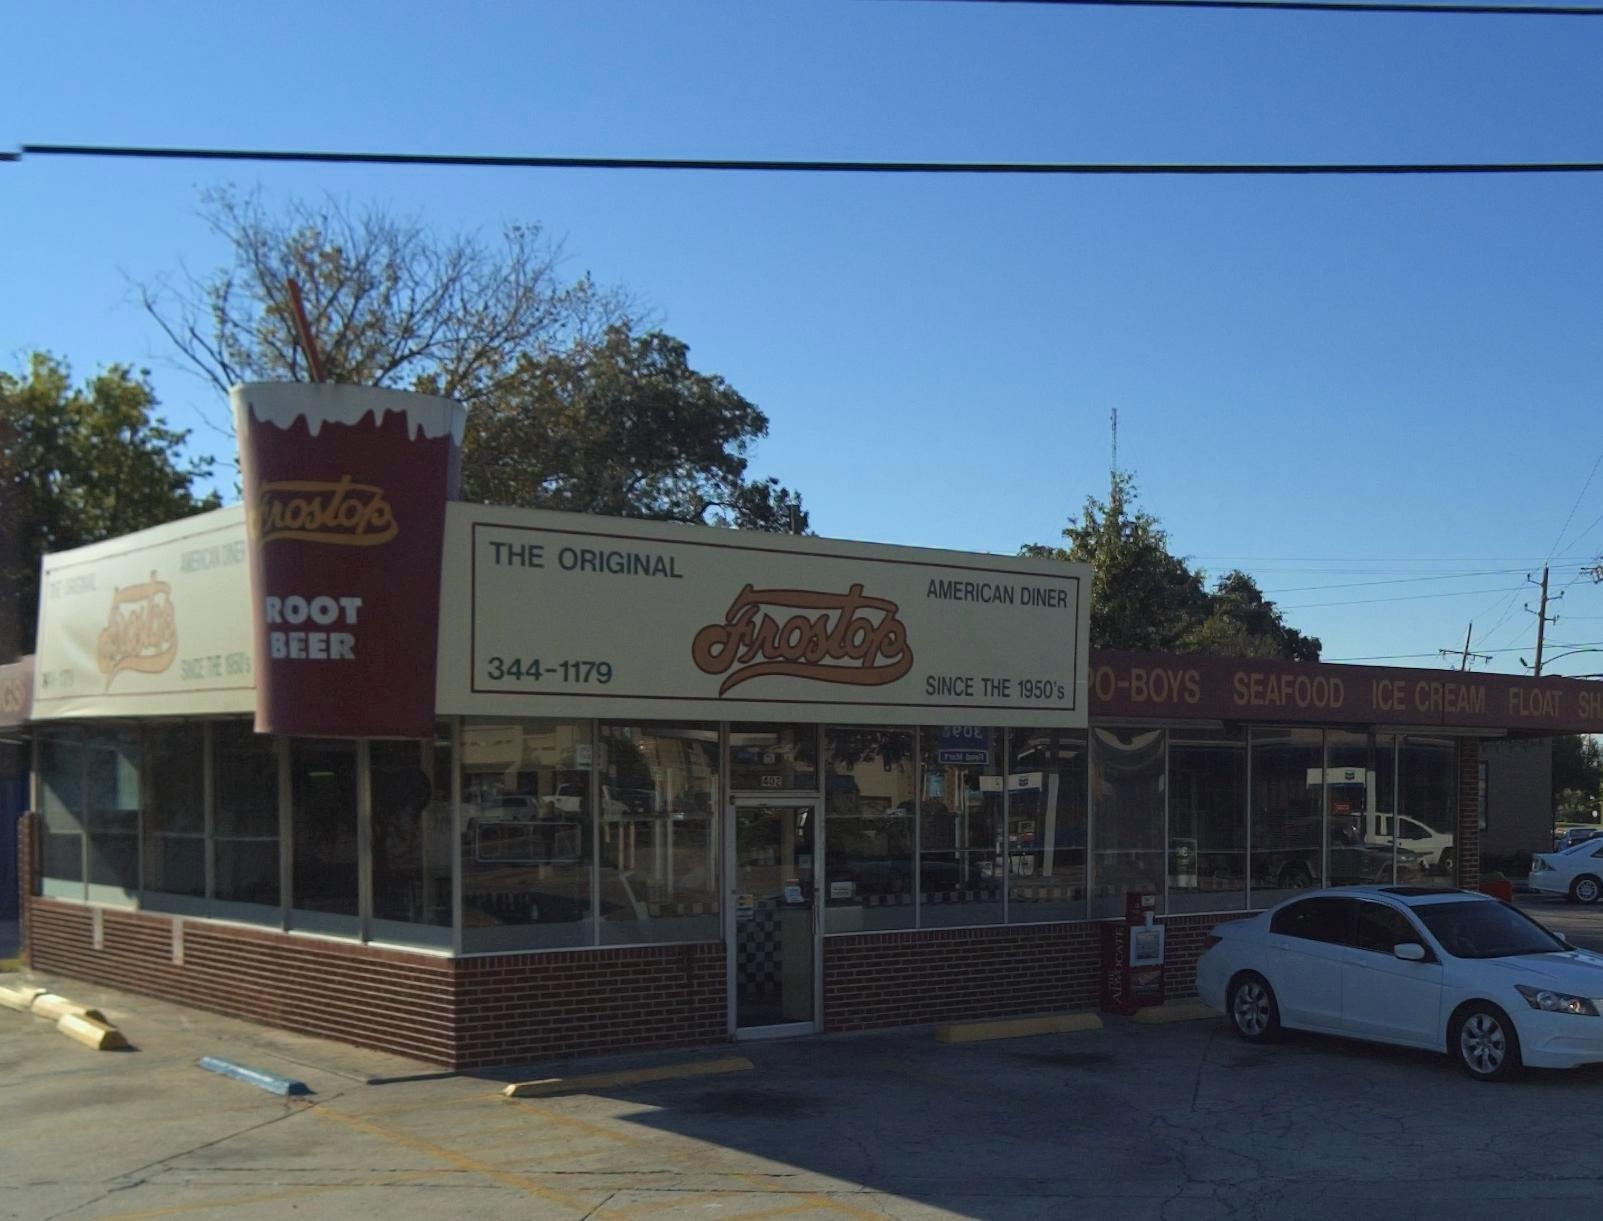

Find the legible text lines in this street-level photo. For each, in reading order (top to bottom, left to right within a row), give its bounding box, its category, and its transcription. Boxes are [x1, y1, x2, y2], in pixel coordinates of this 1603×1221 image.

[246, 466, 408, 561] BusinessName: Frostop
[485, 536, 689, 582] None: THE ORIGINAL
[261, 592, 366, 628] None: ROOT
[923, 576, 1071, 611] None: AMERICAN DINER
[266, 628, 361, 663] None: BEER
[684, 578, 918, 703] BusinessName: Frostop
[176, 649, 254, 684] None: SINCE THE 1950'S
[485, 653, 616, 688] None: 344-1179
[922, 673, 1068, 702] None: SINCE THE 1950'S
[1093, 661, 1602, 721] None: O-BOYS SEAFOOD ICE CREAM FLOAT SH
[761, 775, 781, 787] StreetNumber: 402